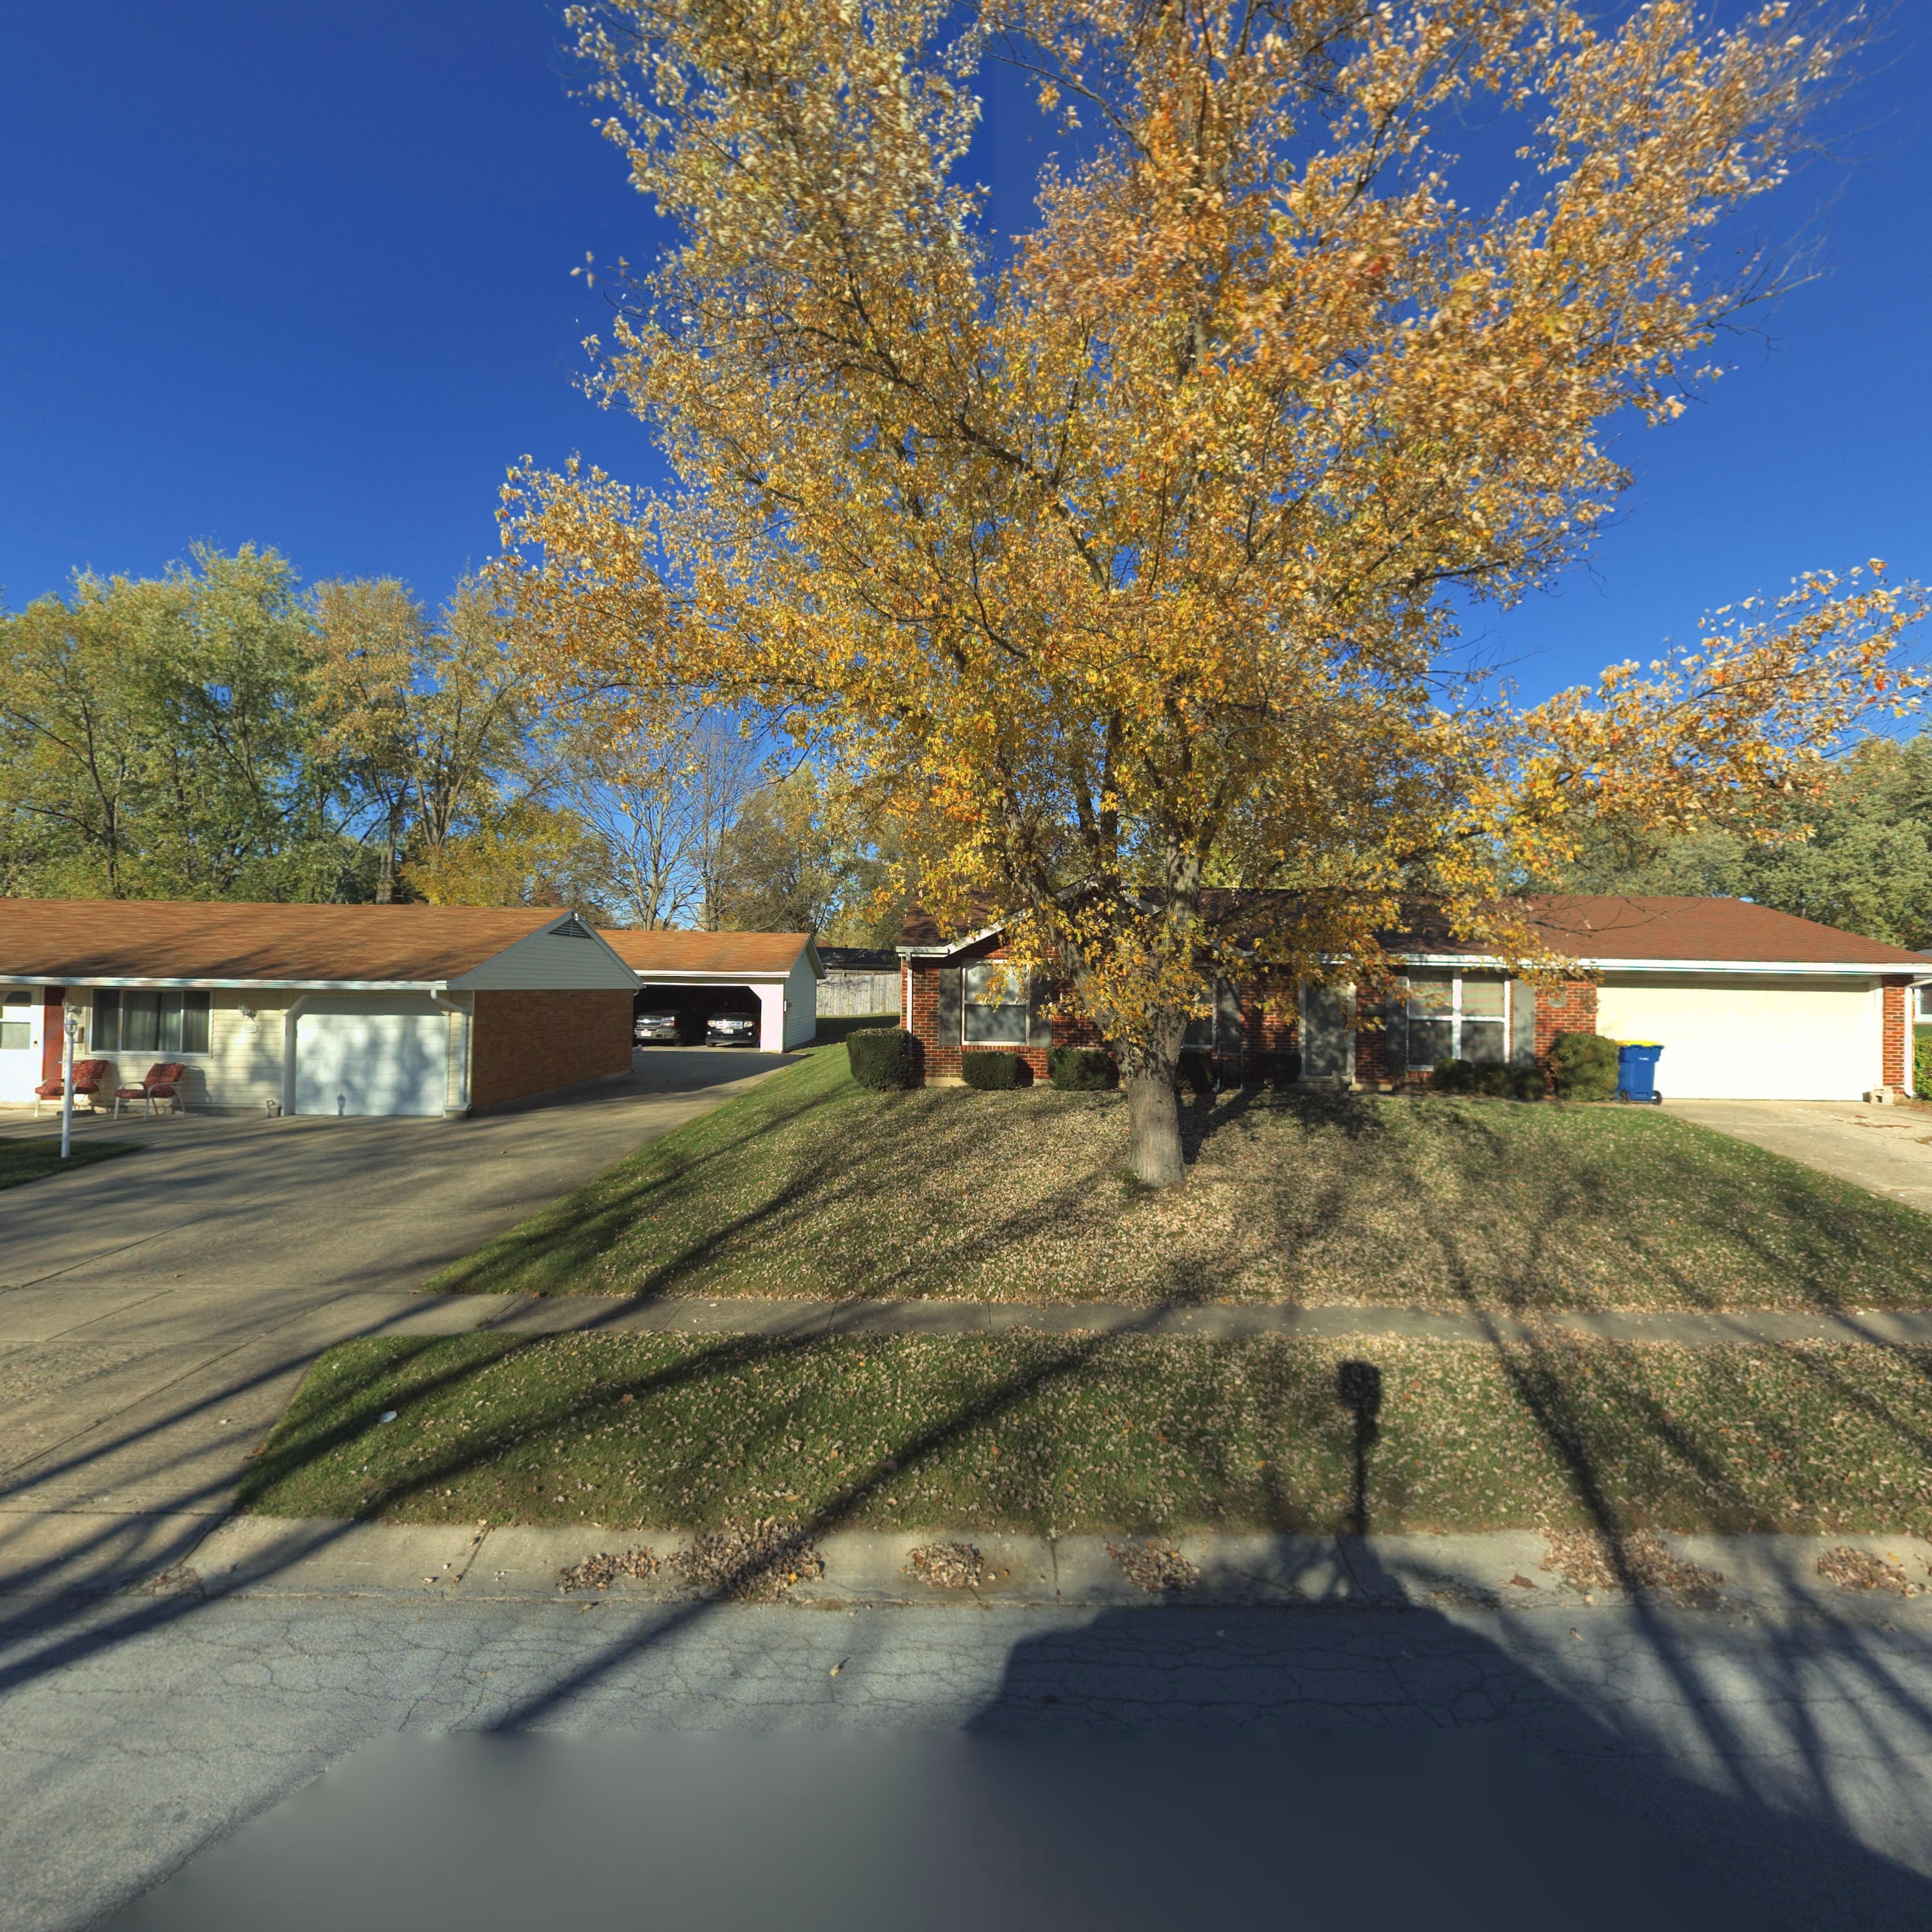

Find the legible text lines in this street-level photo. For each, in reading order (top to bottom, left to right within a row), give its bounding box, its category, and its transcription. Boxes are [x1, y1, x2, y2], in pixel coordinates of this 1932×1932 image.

[1550, 999, 1565, 1006] StreetNumber: 500*
[243, 1026, 254, 1031] StreetNumber: ***5